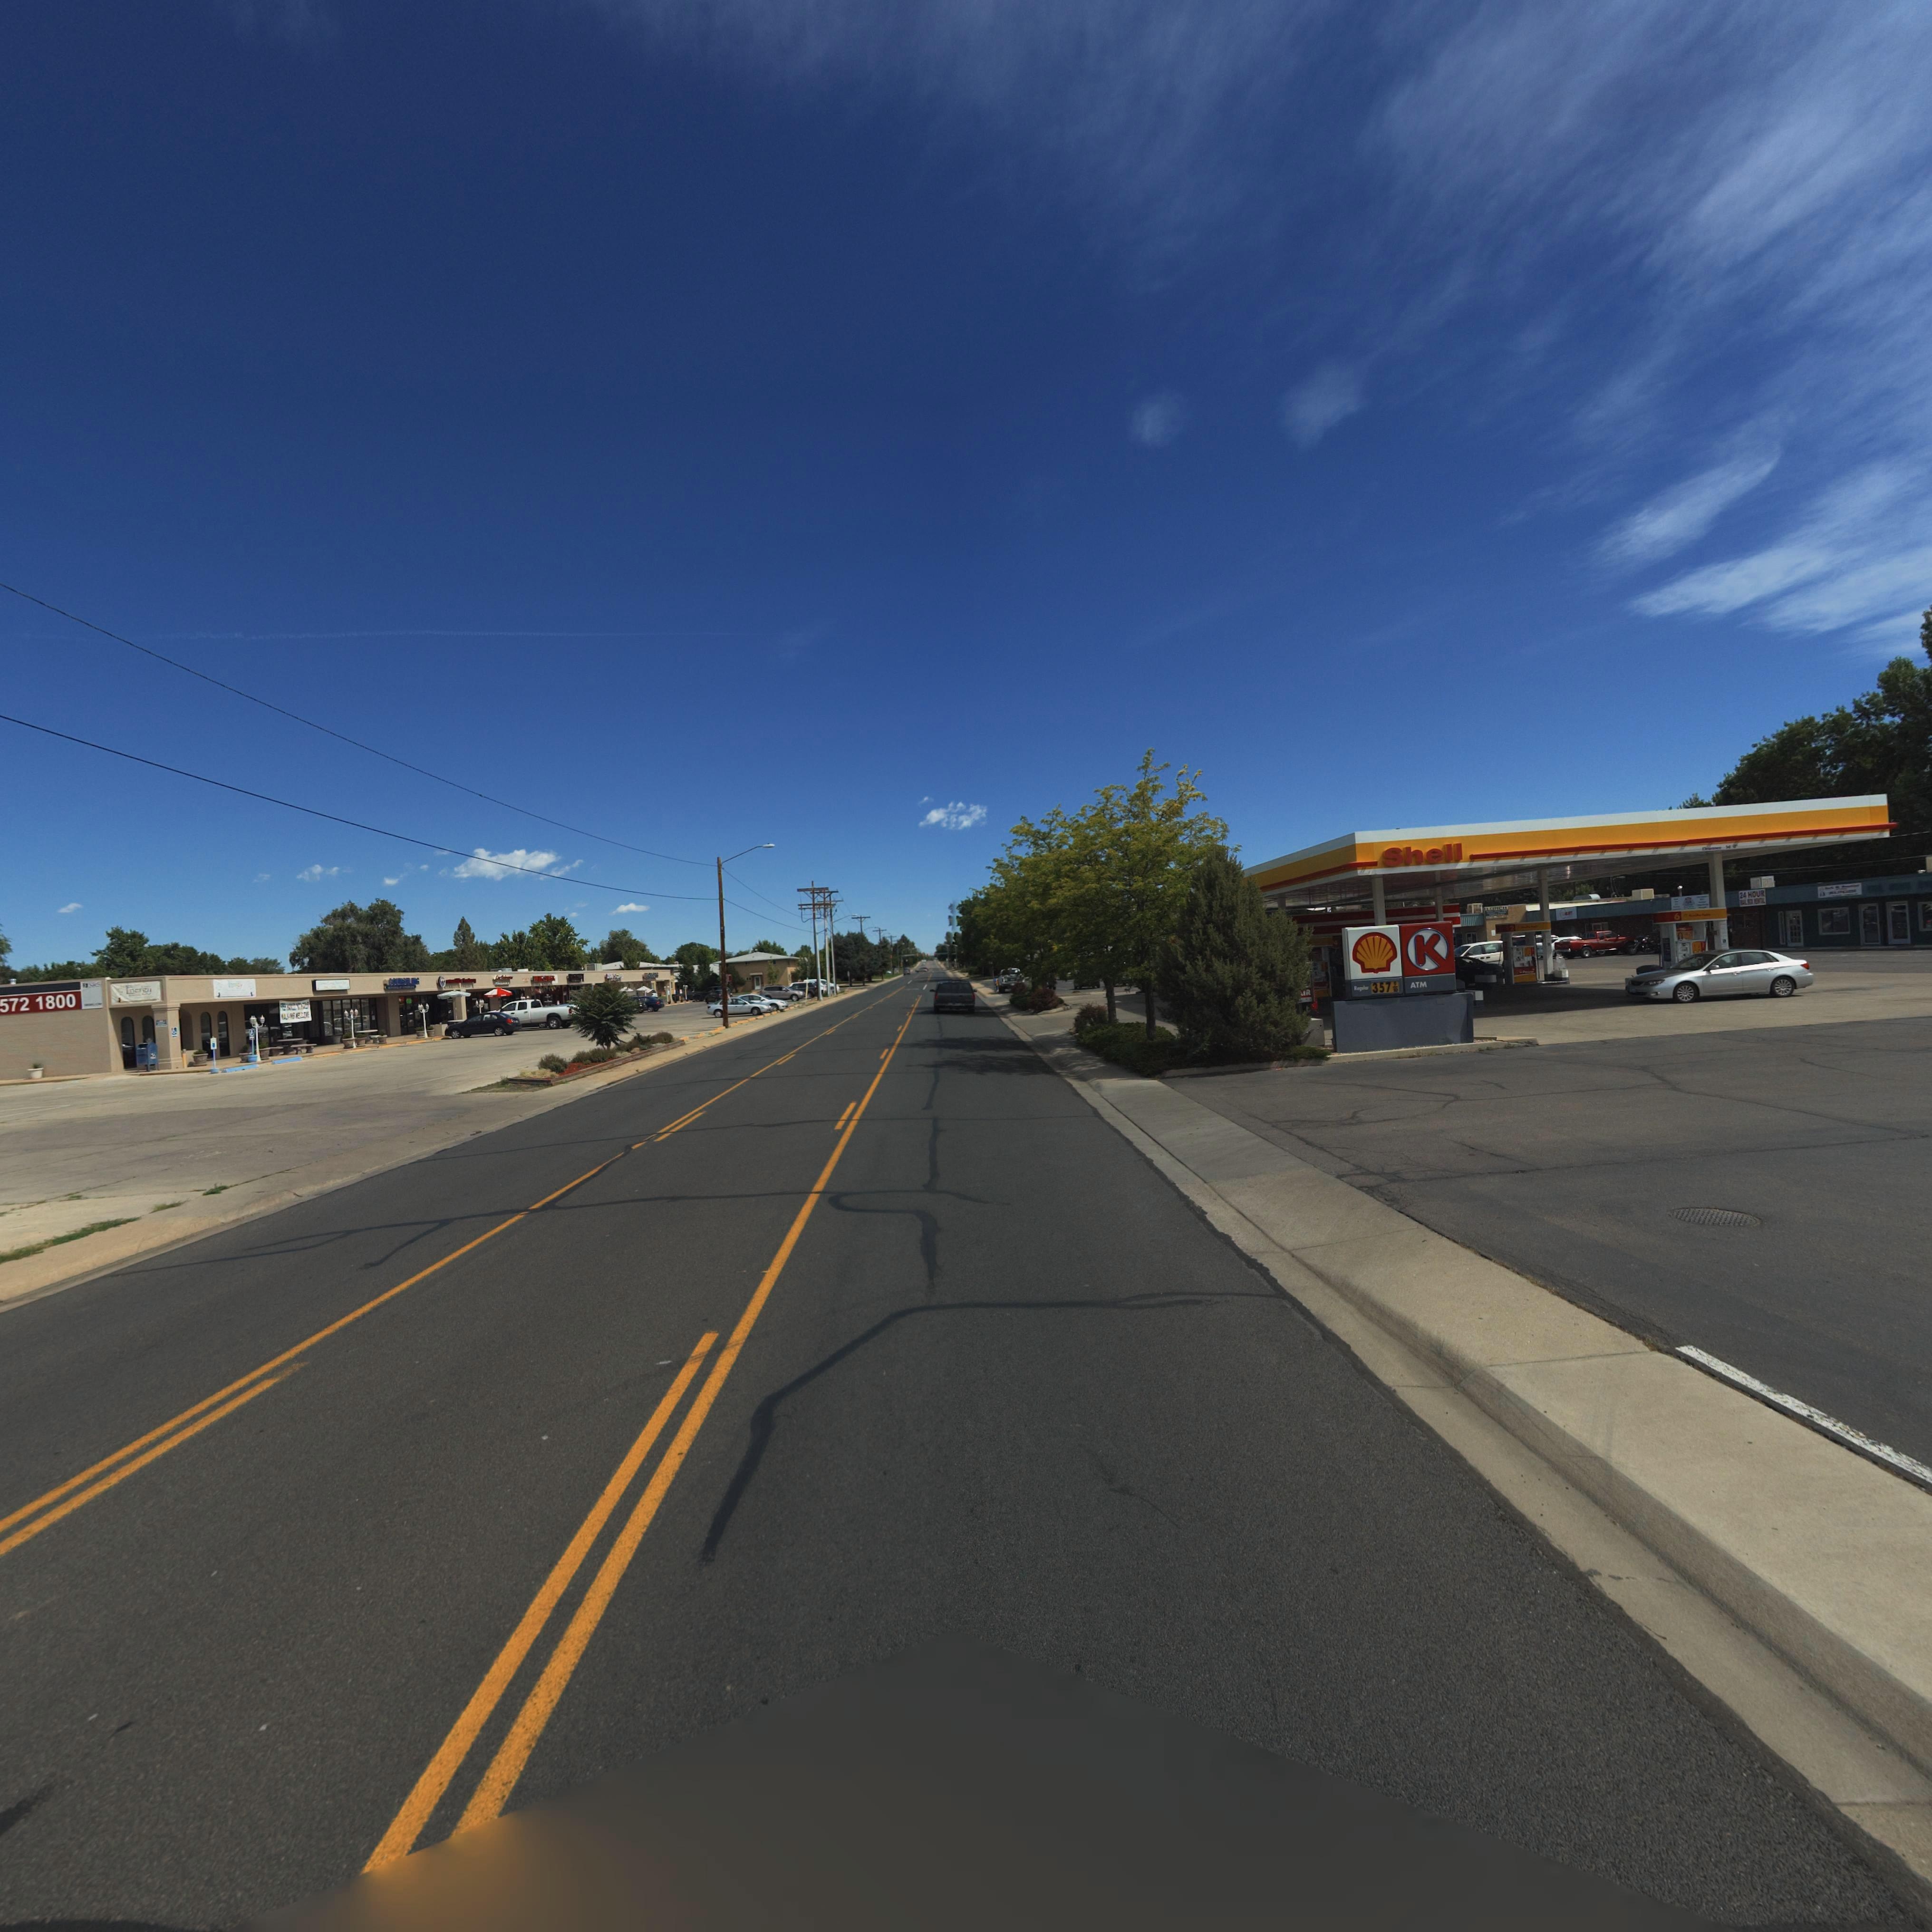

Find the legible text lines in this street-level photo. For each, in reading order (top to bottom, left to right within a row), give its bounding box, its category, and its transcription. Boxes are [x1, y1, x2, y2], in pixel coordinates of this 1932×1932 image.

[1382, 842, 1464, 867] BusinessName: Shell
[1739, 889, 1765, 898] BusinessName: 24 HOUR
[1739, 897, 1765, 905] BusinessName: R***L **** RENTAL